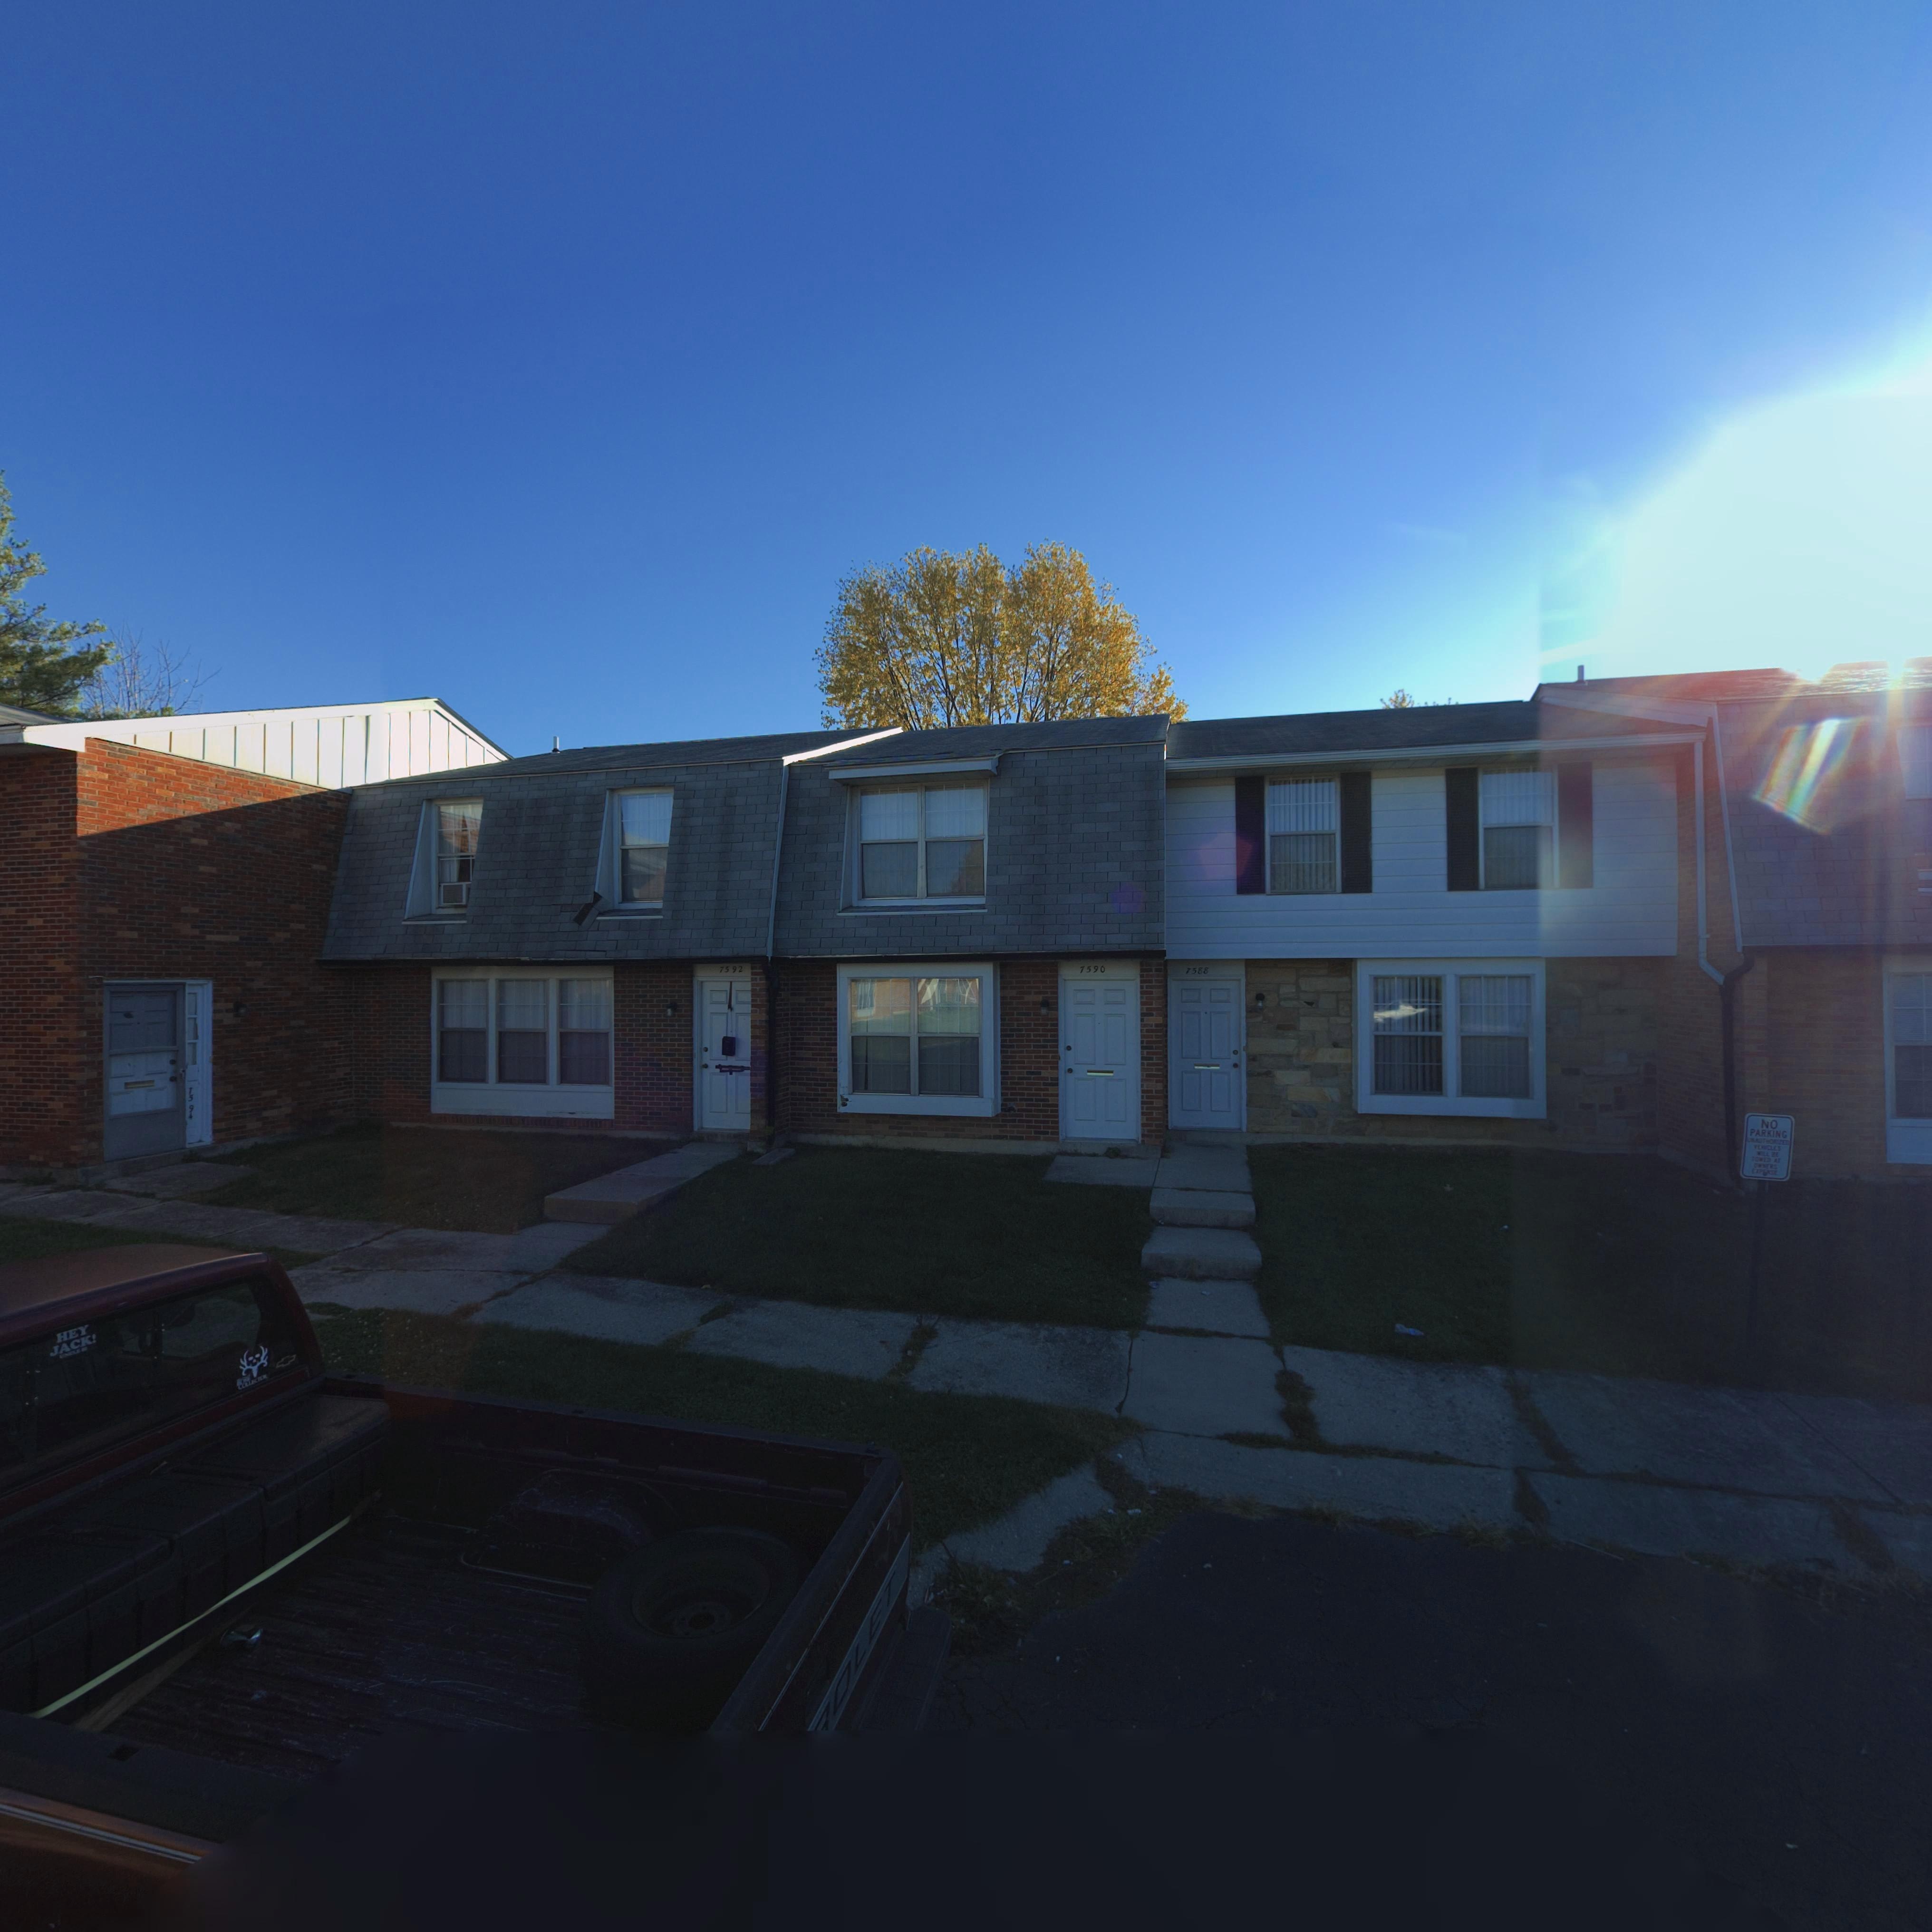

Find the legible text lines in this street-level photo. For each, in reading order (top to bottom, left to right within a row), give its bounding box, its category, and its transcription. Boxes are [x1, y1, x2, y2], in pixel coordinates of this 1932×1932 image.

[719, 965, 744, 975] StreetNumber: 7592
[1079, 965, 1106, 975] StreetNumber: 7590
[1184, 966, 1210, 976] StreetNumber: 7588
[187, 1086, 195, 1121] StreetNumber: 7594